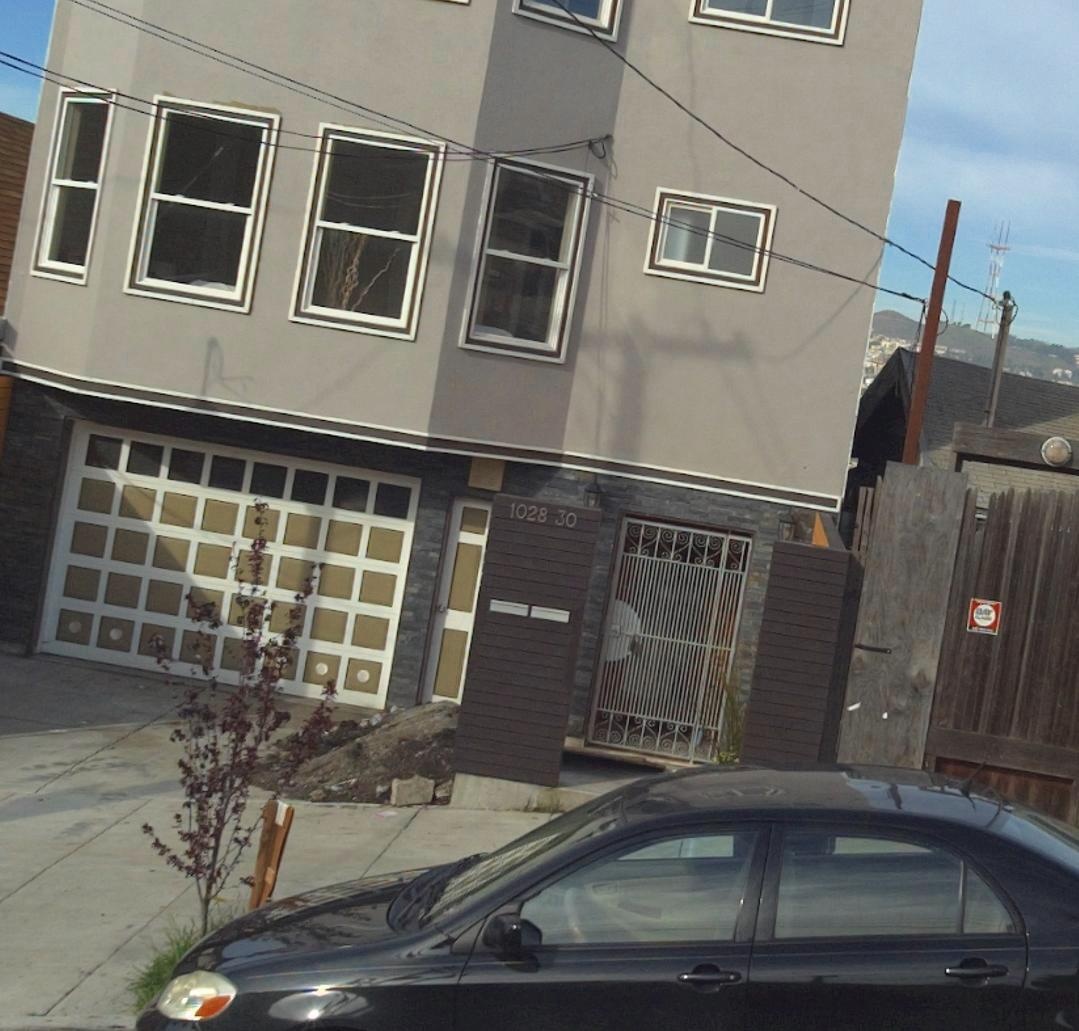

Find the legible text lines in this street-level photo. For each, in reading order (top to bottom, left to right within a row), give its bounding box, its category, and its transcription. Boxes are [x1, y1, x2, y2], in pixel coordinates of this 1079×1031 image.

[509, 501, 550, 525] StreetNumber: 1028
[553, 508, 580, 531] StreetNumber: 30
[976, 608, 993, 616] None: BAY